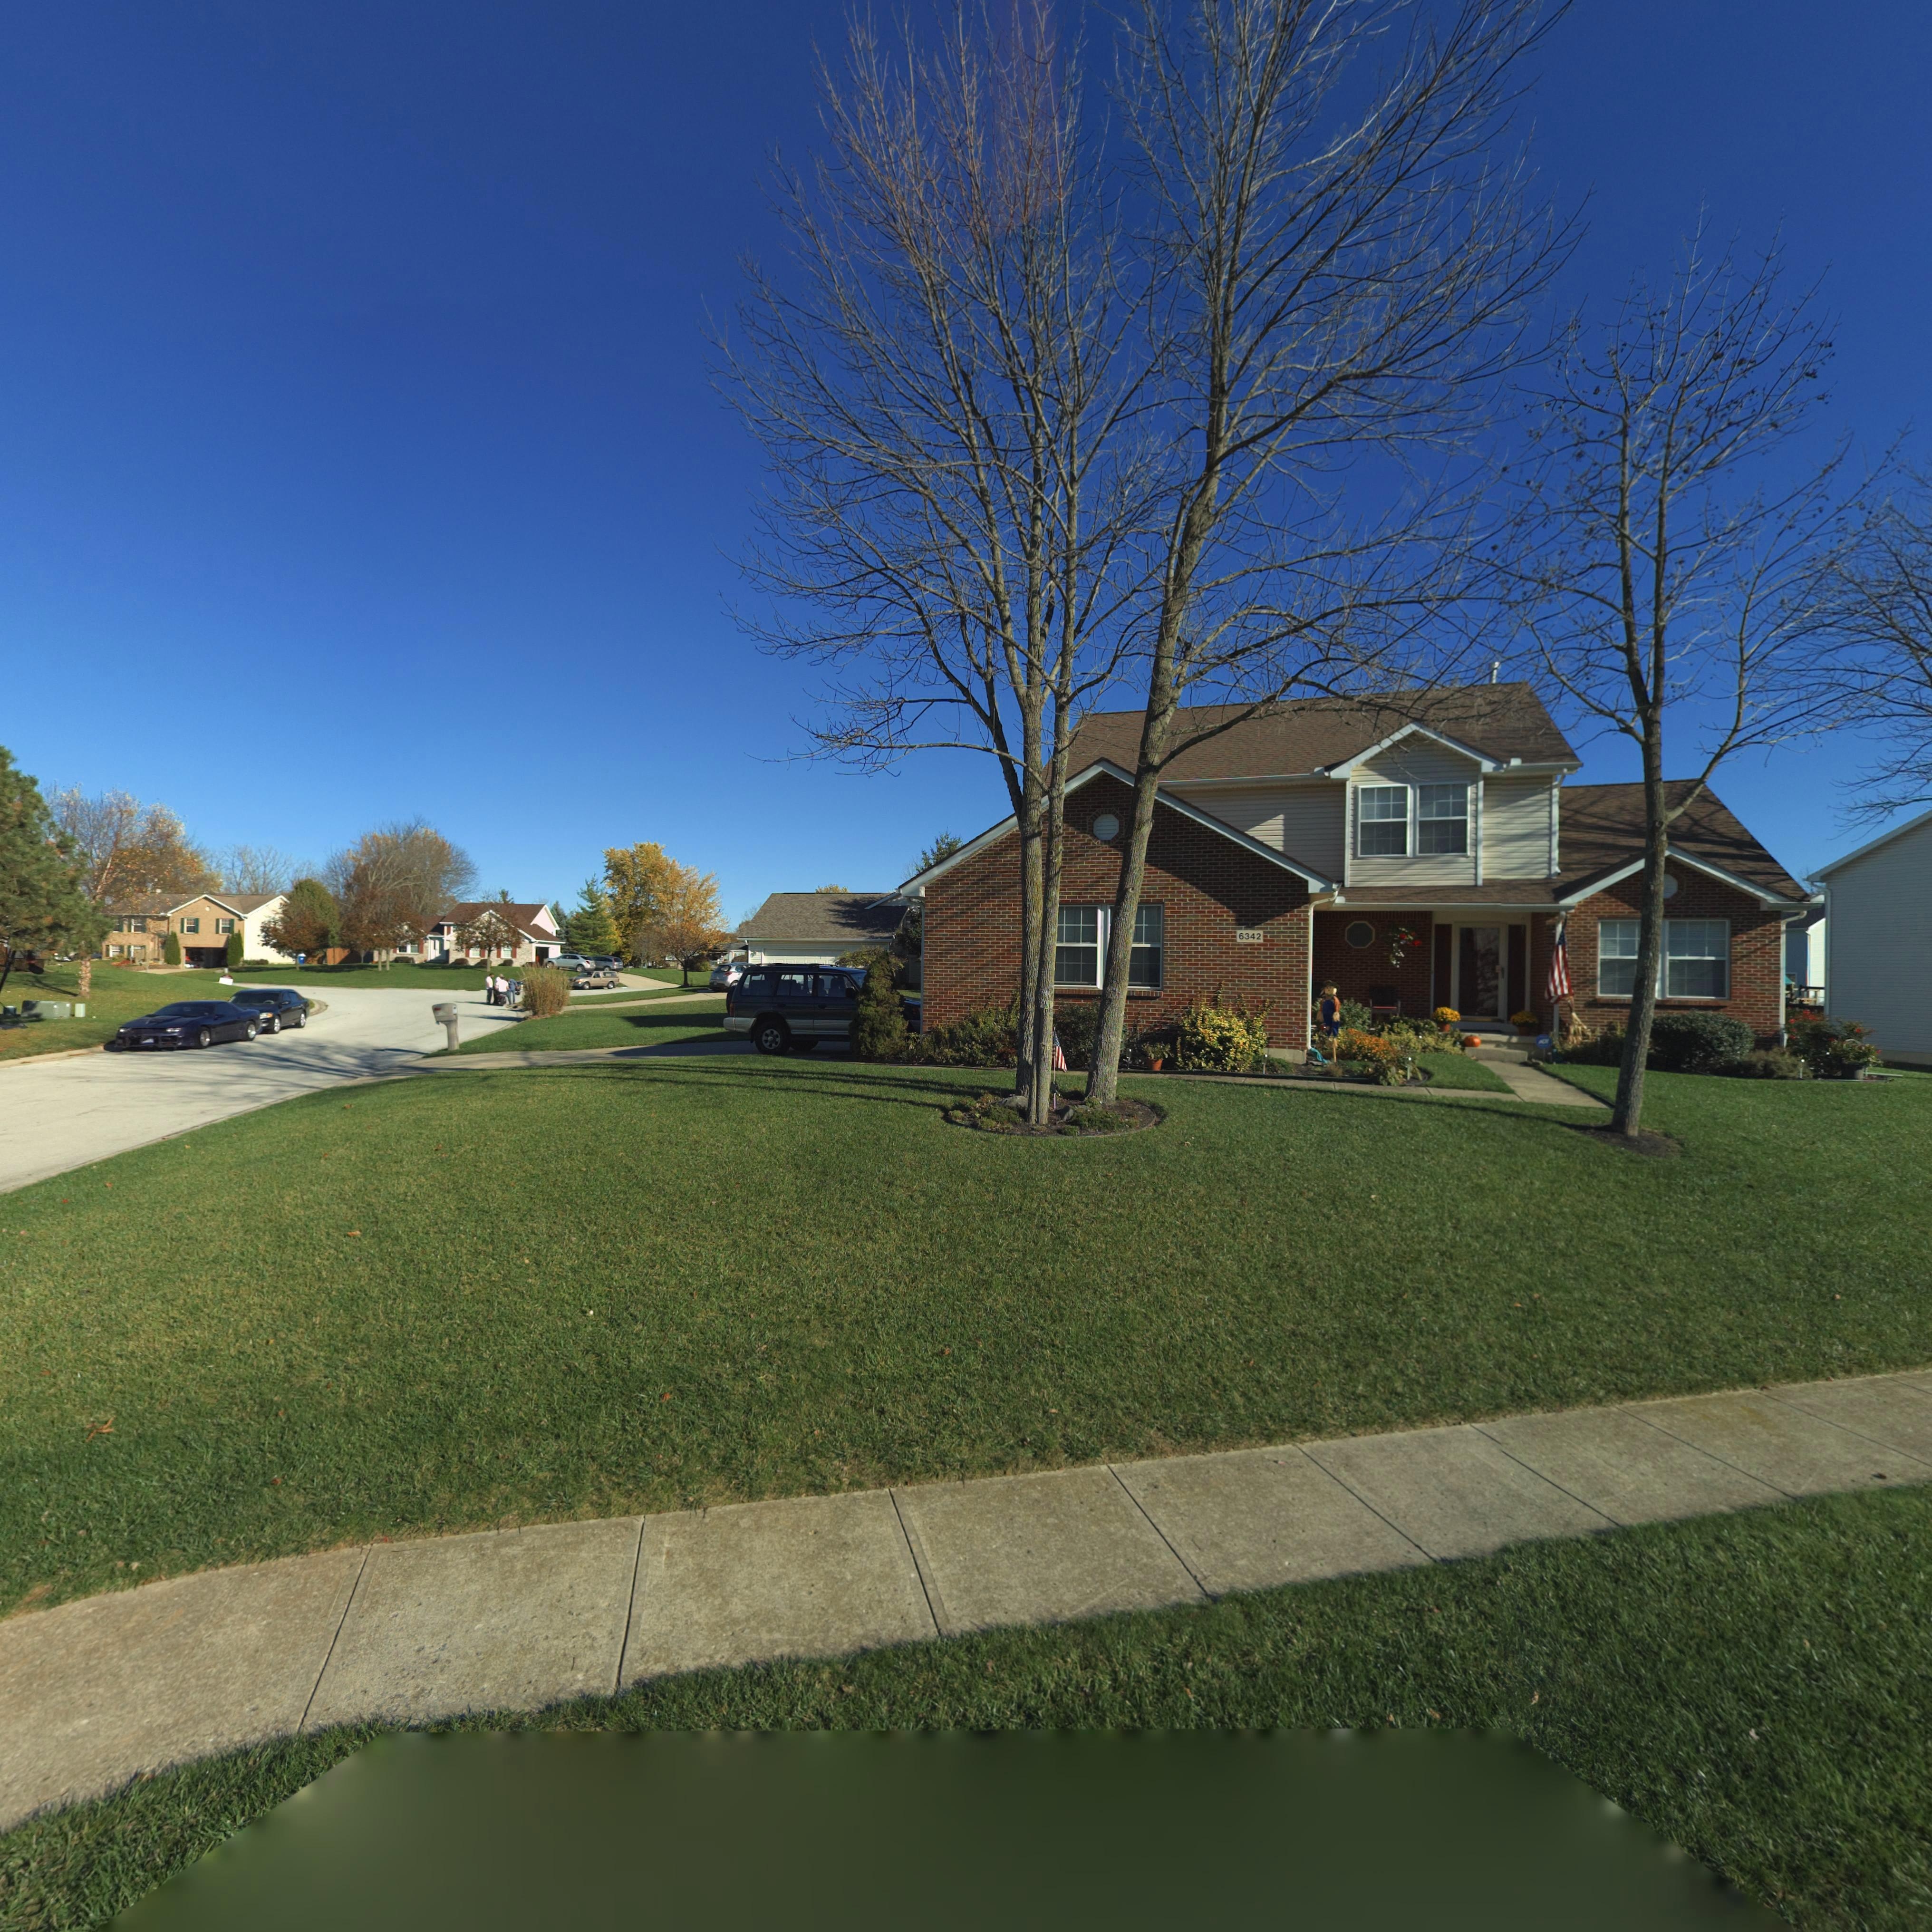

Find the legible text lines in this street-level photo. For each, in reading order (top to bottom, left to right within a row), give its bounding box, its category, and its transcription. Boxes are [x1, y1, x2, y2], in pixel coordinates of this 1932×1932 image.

[1238, 932, 1262, 940] StreetNumber: 6342